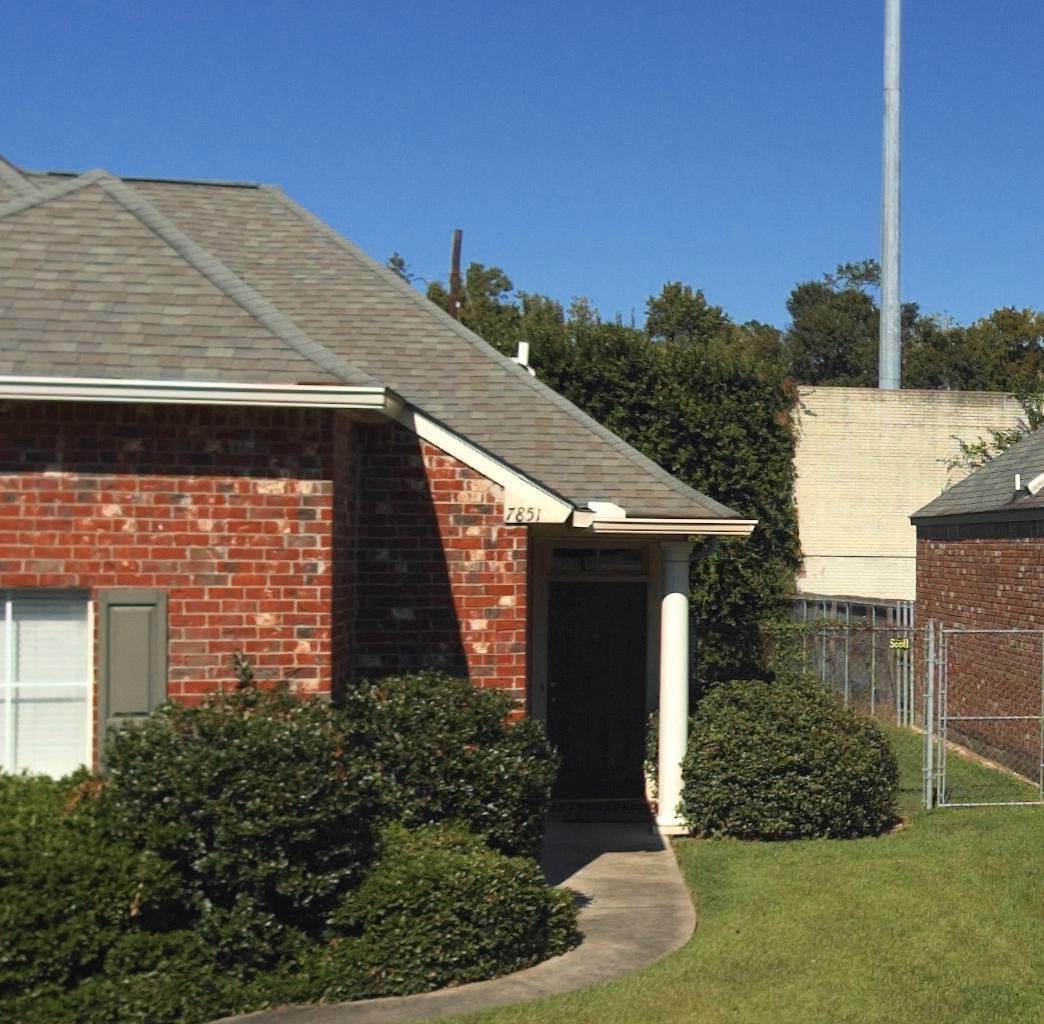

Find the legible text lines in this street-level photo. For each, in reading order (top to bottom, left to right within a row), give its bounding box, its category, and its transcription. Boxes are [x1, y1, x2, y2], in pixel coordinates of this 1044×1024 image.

[504, 505, 544, 524] StreetNumber: 7851